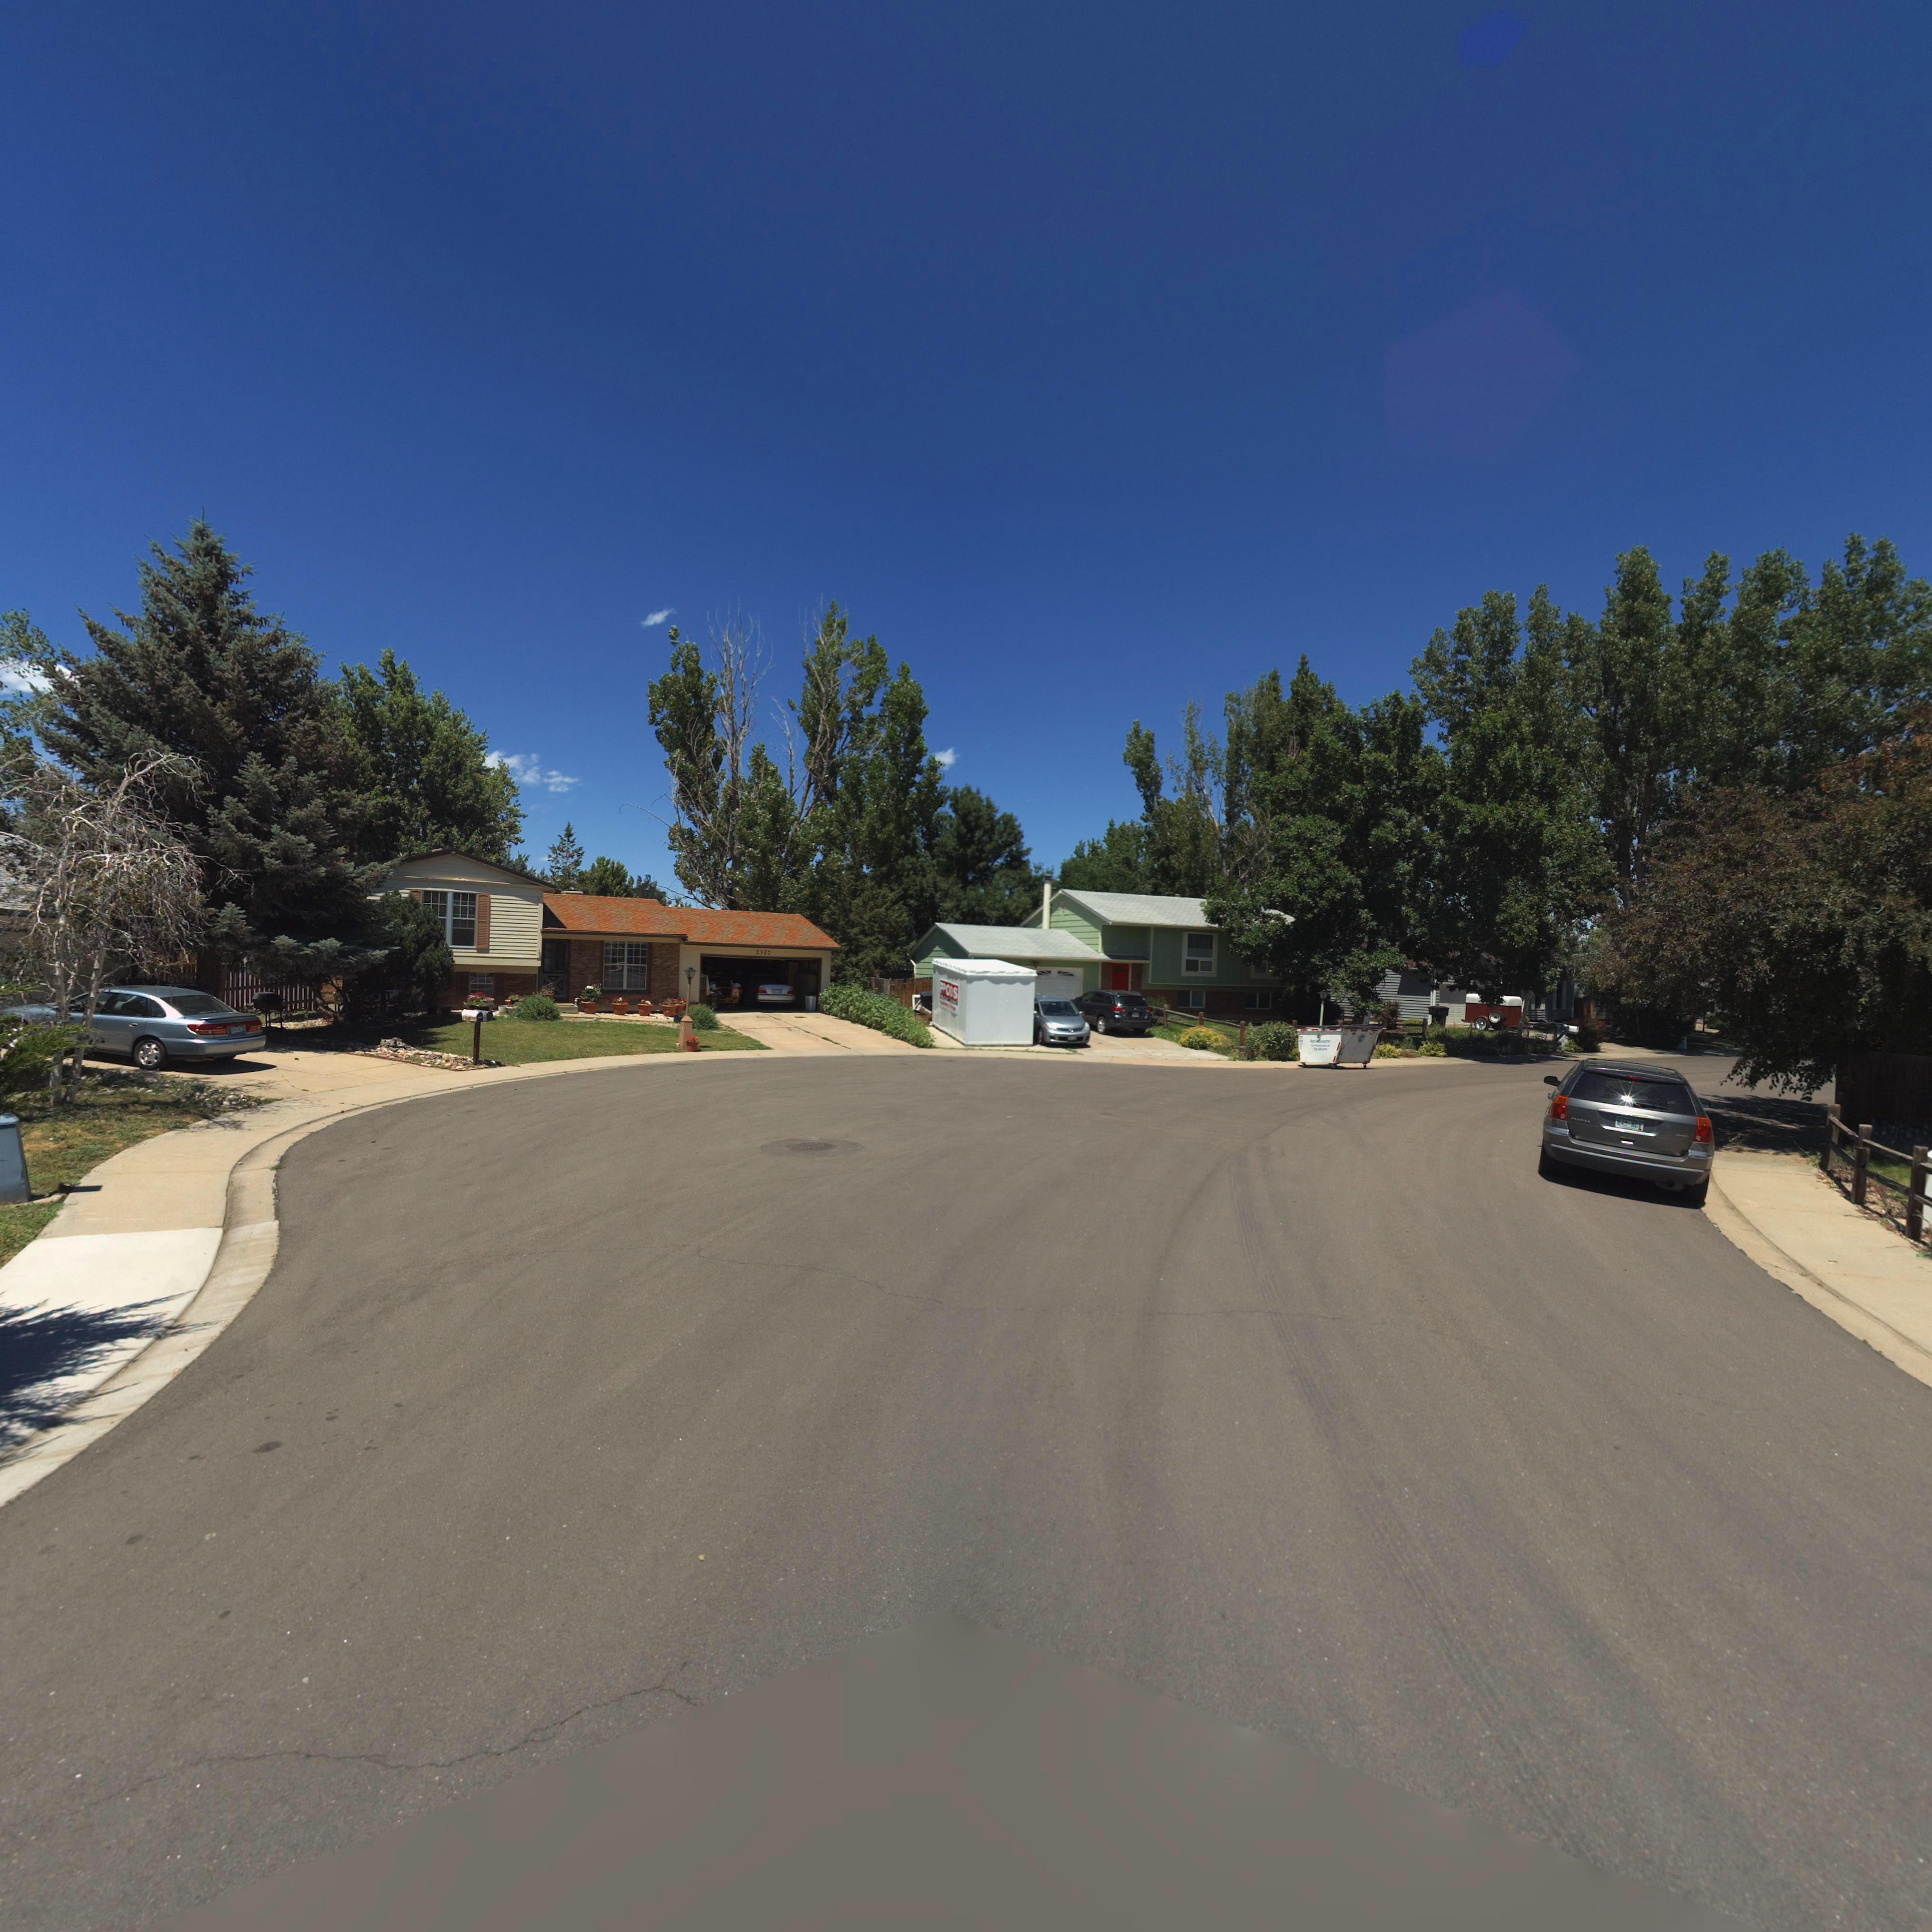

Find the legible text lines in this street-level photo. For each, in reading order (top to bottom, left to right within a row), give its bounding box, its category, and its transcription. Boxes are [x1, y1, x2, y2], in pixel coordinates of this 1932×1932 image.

[756, 949, 770, 955] StreetNumber: 2327